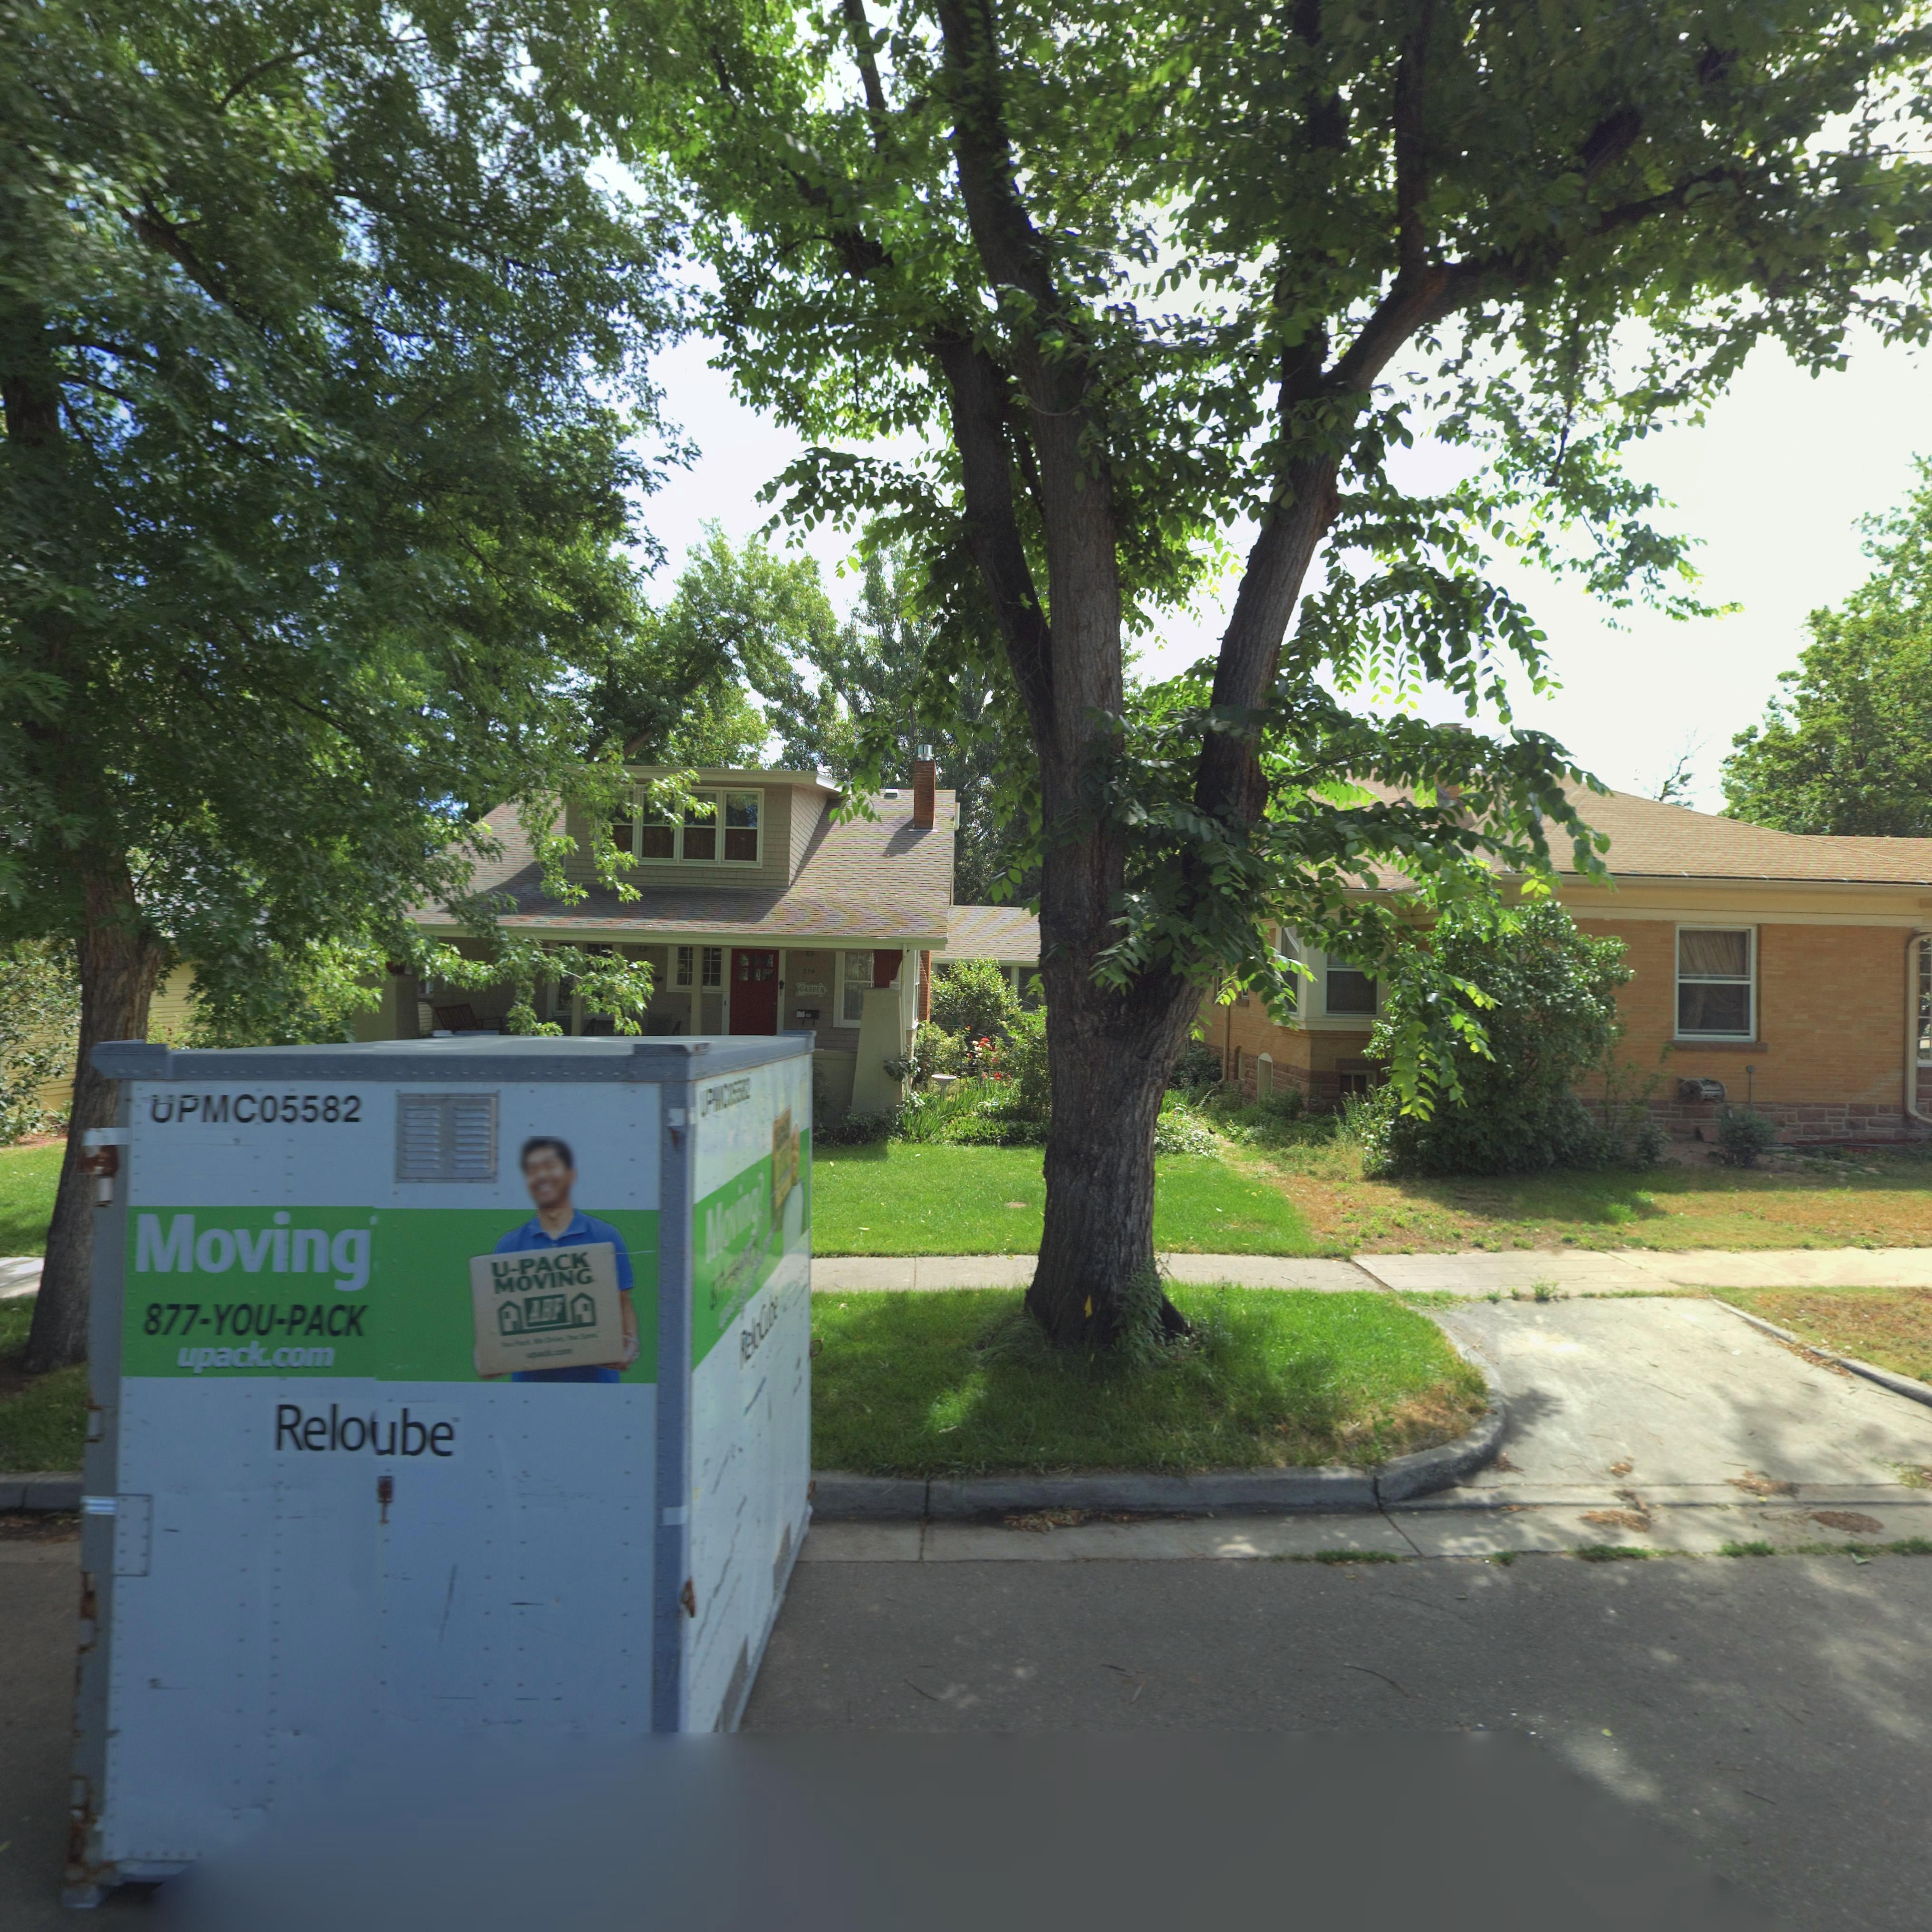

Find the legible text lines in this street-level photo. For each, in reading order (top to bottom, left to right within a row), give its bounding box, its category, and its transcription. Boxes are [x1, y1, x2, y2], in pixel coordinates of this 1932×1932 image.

[802, 968, 814, 974] StreetNumber: 314